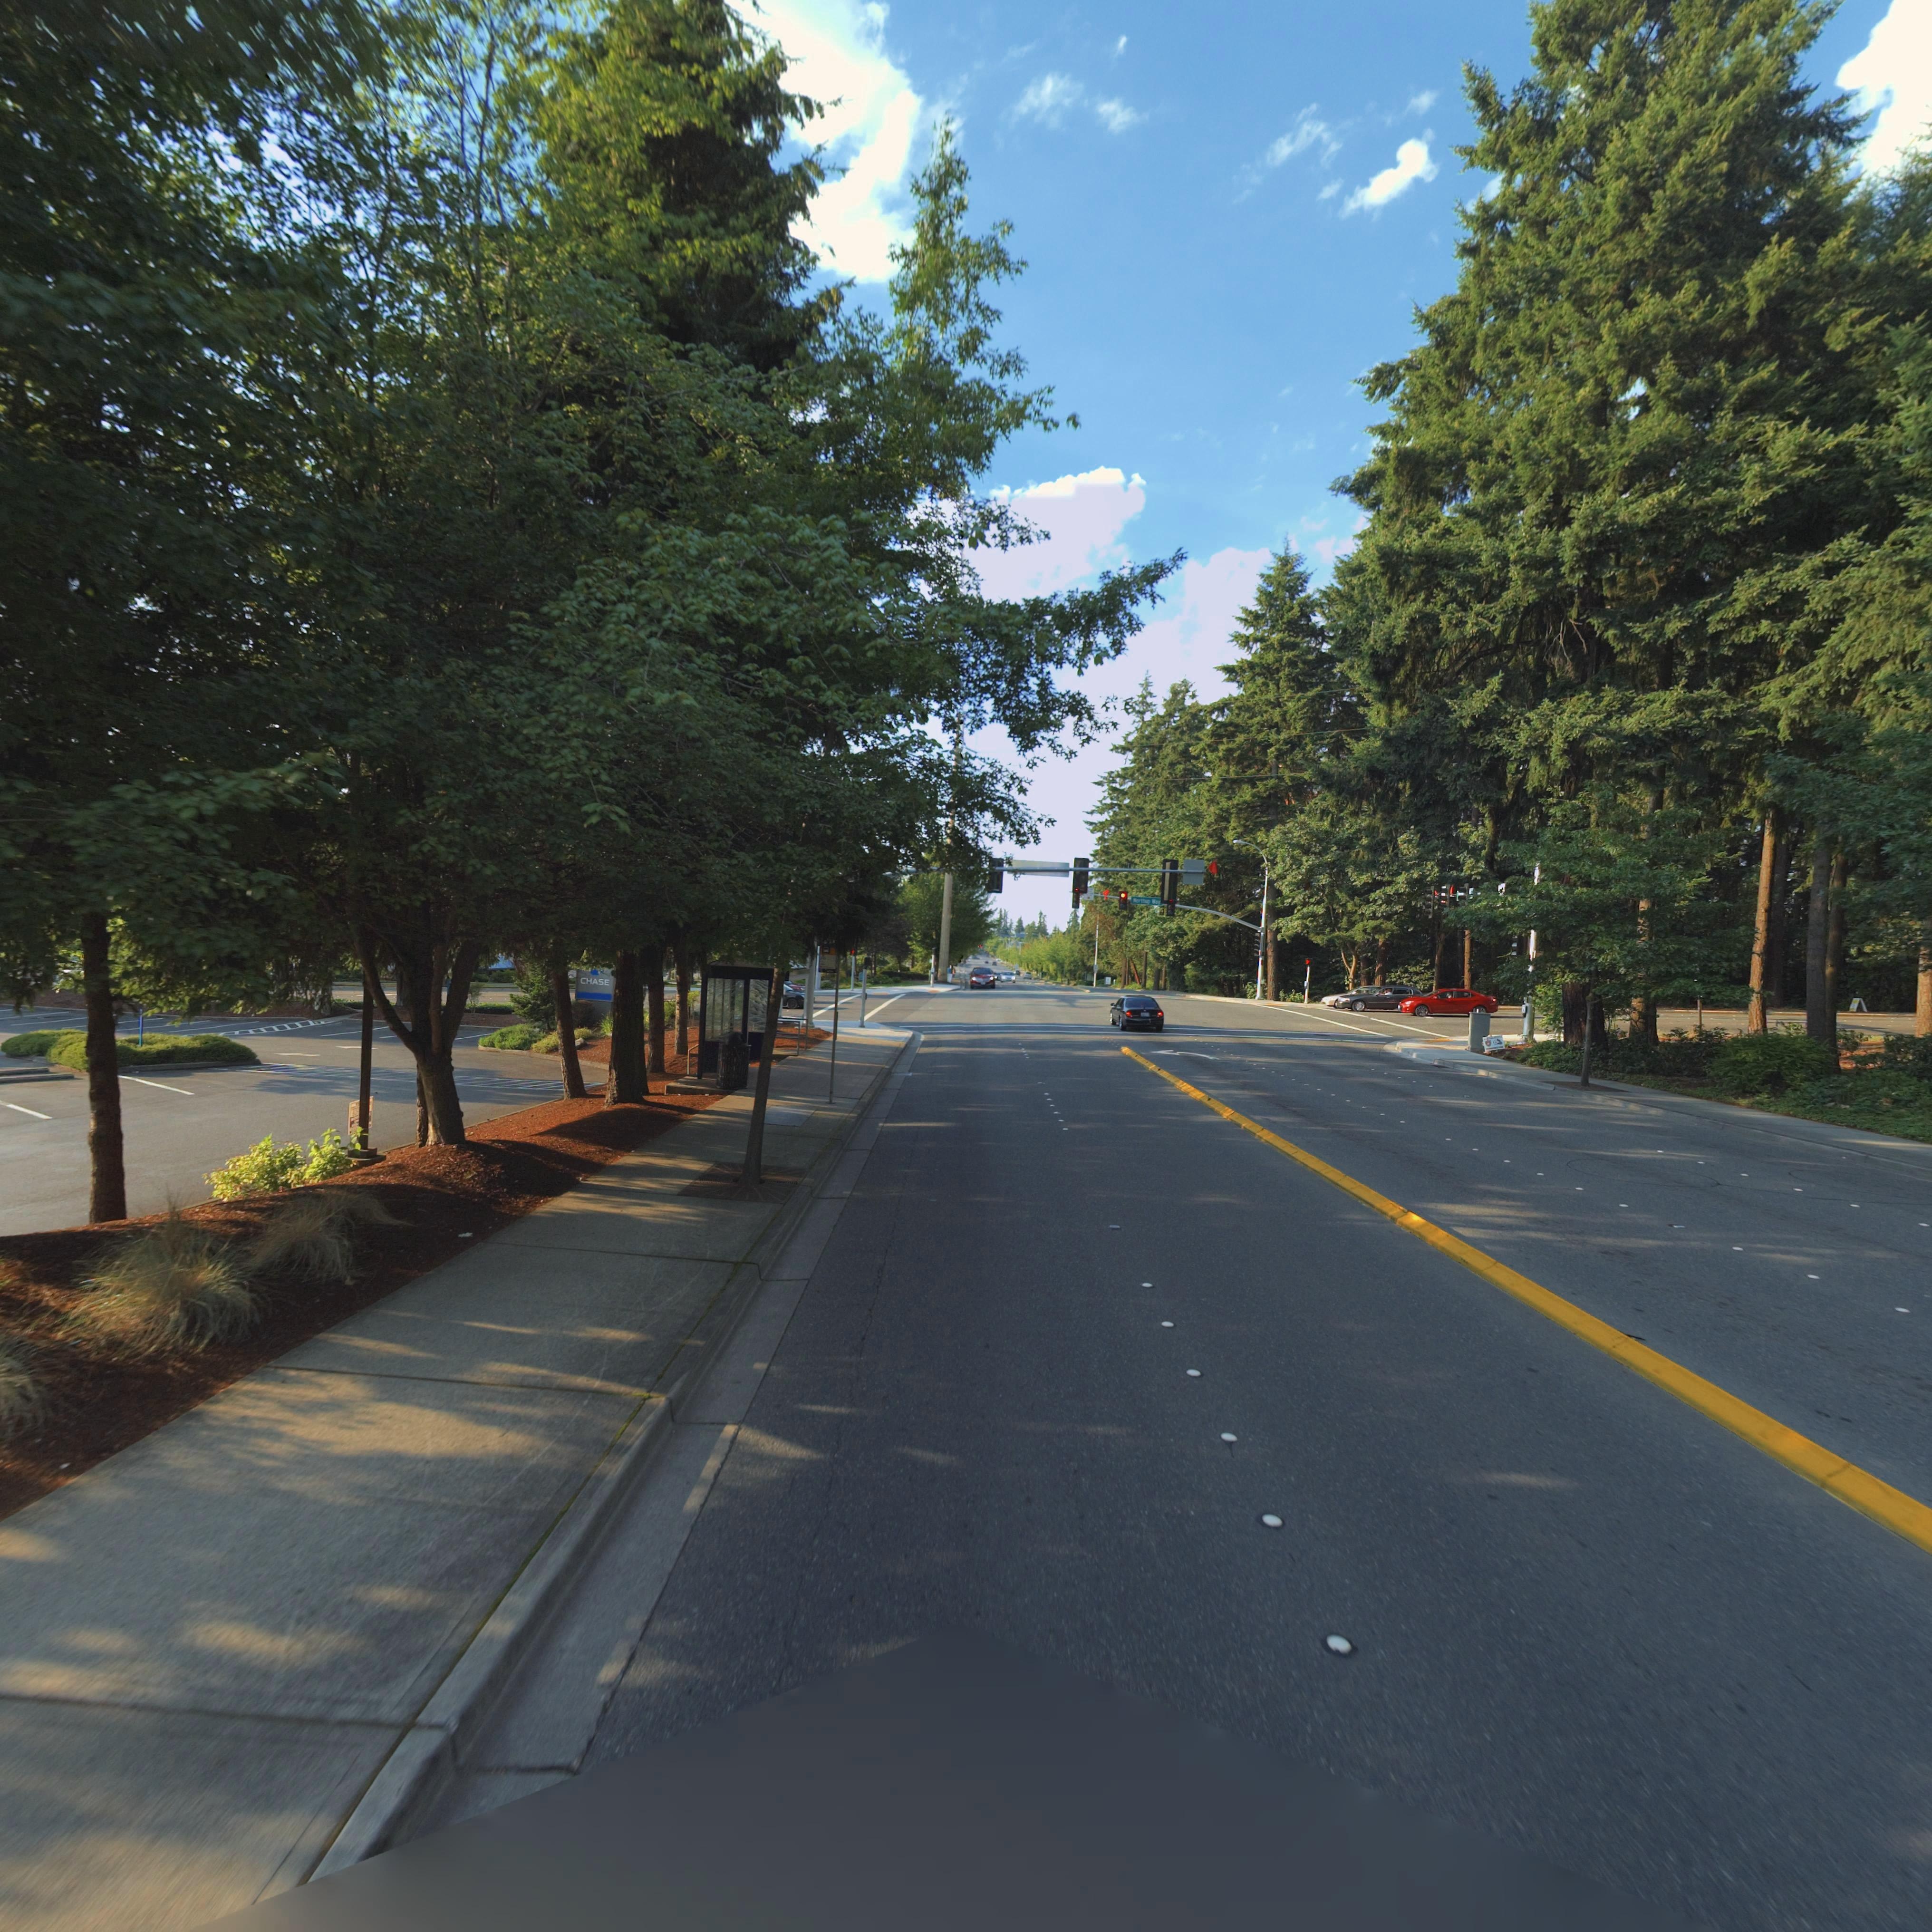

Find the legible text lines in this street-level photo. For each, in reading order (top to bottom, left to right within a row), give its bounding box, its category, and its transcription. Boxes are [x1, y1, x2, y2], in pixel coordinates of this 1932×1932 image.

[1132, 897, 1160, 906] StreetName: Northup W*y
[581, 978, 610, 986] BusinessName: CHASE